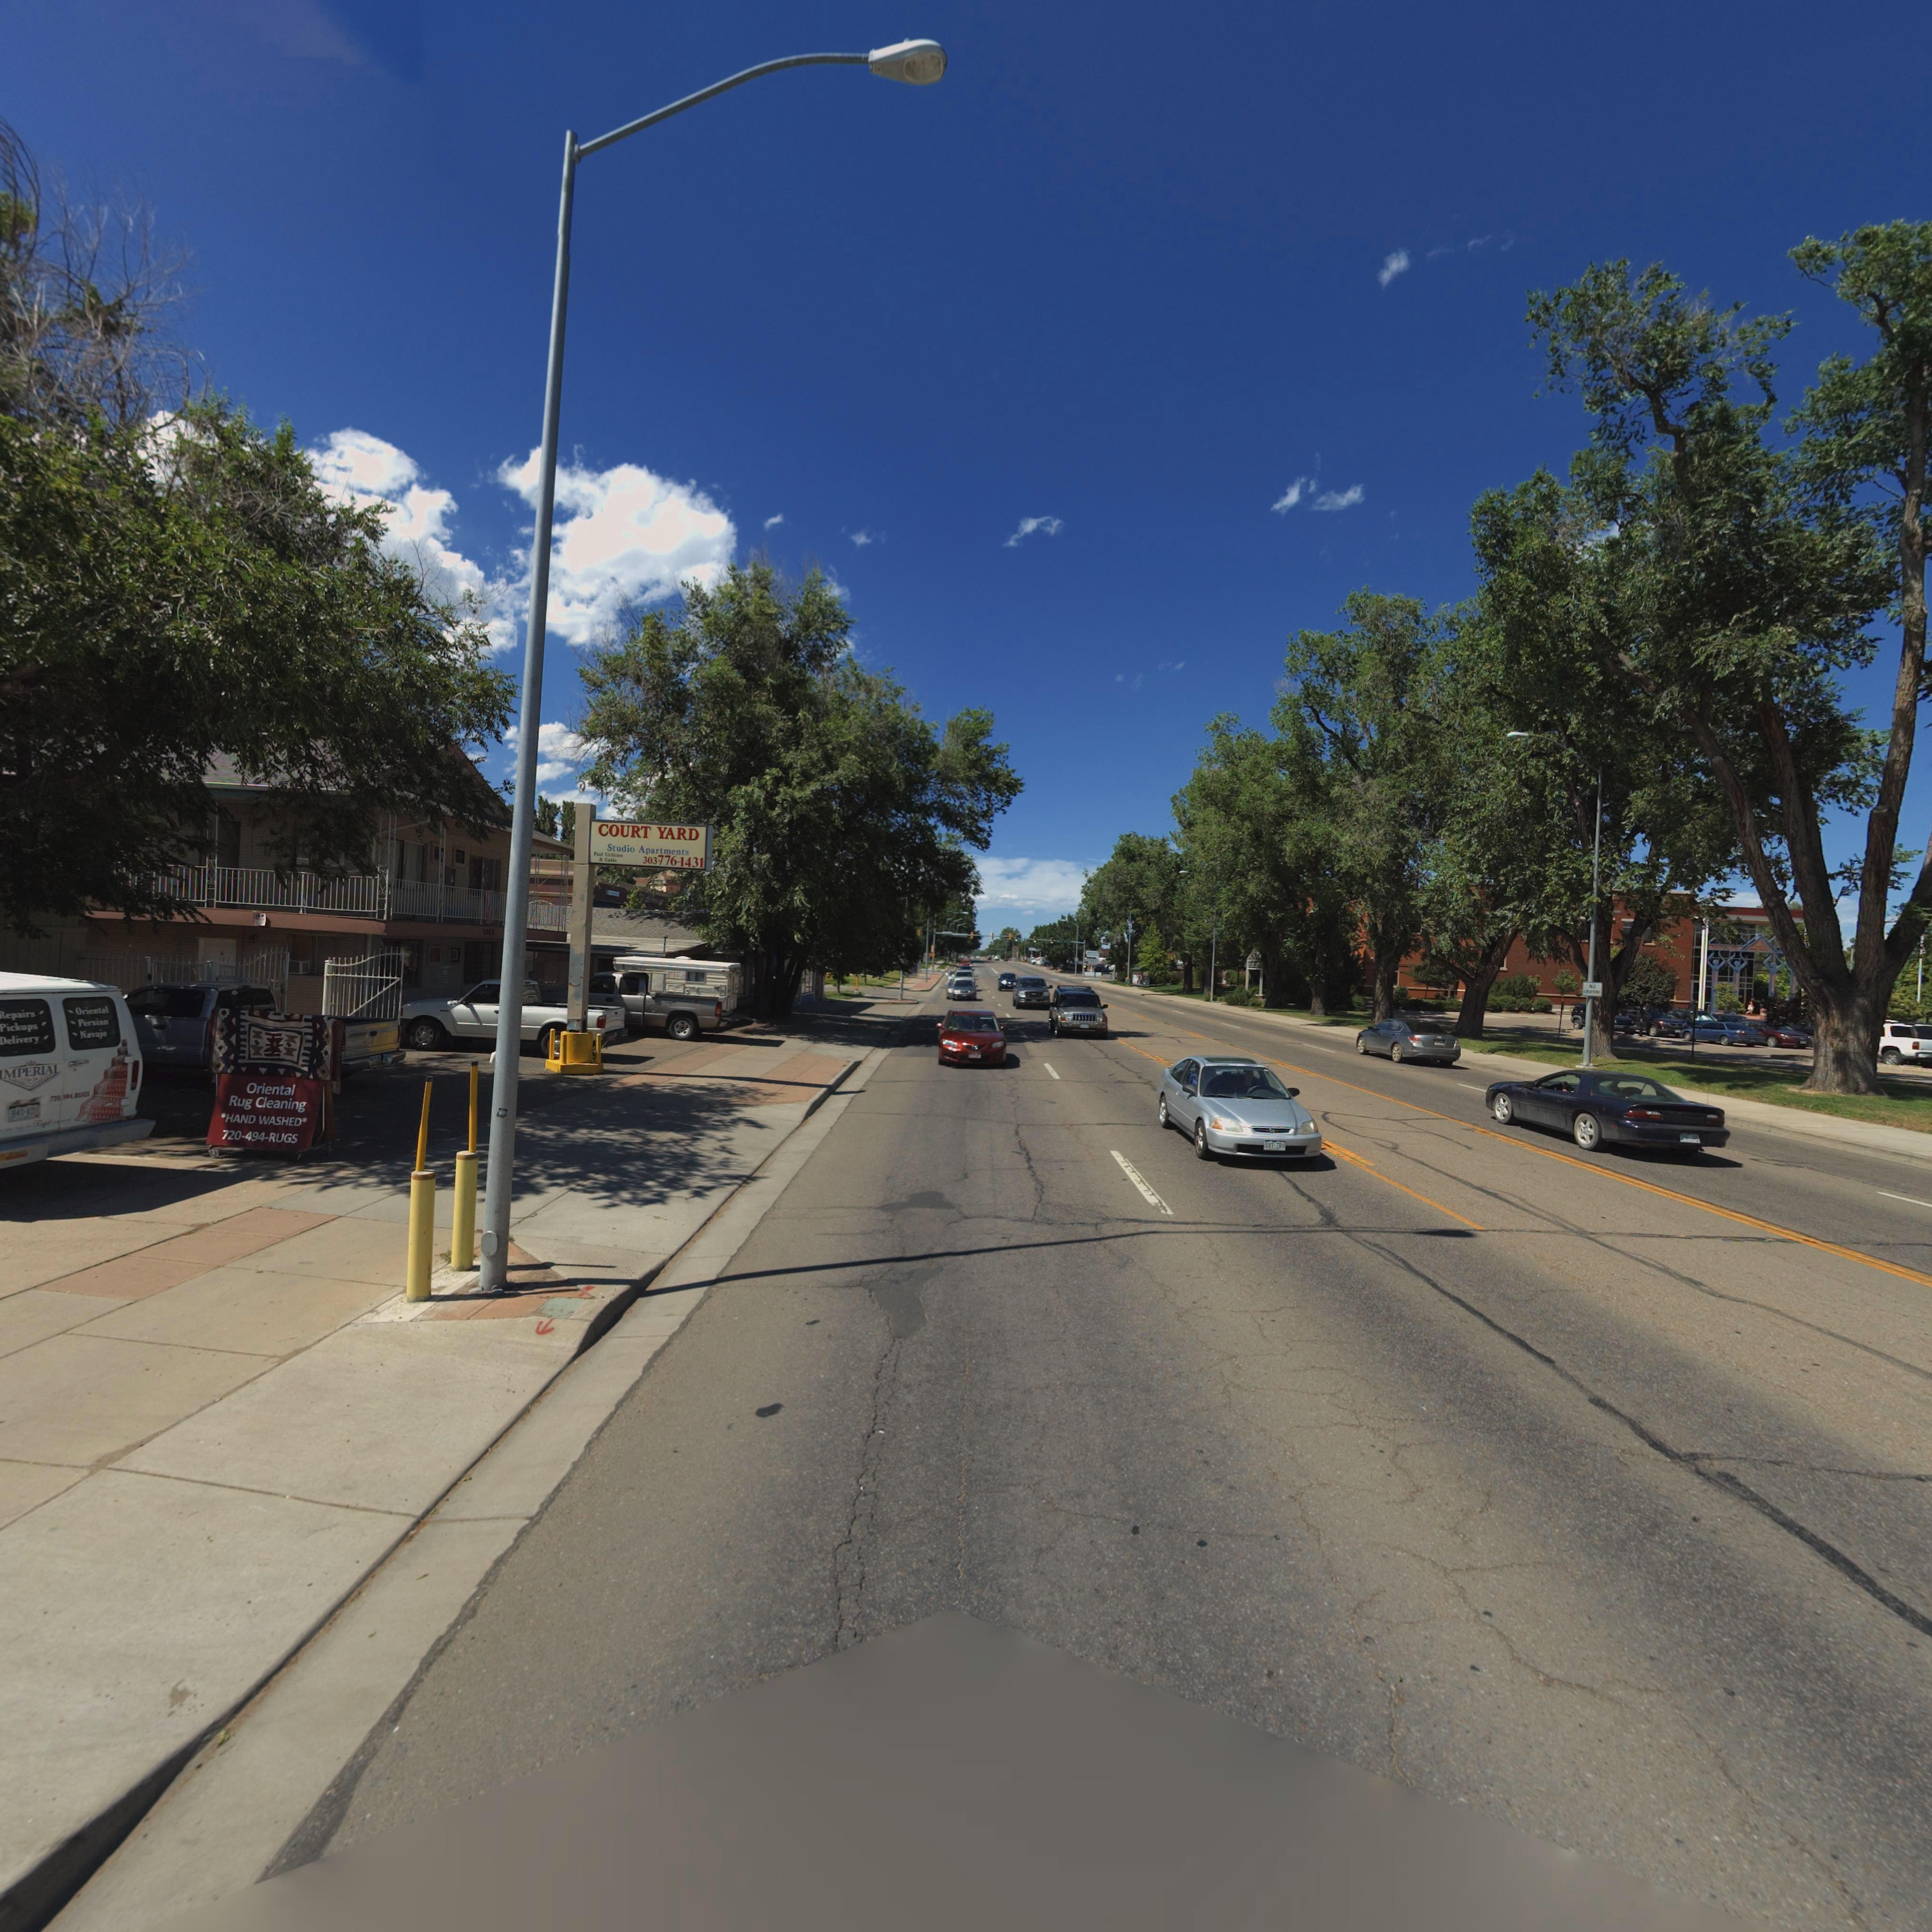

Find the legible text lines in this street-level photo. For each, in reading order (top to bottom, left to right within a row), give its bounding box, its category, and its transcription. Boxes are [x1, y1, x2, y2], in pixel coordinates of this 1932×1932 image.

[598, 823, 699, 840] BusinessName: COURT YARD
[606, 843, 689, 856] BusinessName: Studio Apartments
[483, 928, 494, 936] StreetNumber: 1013